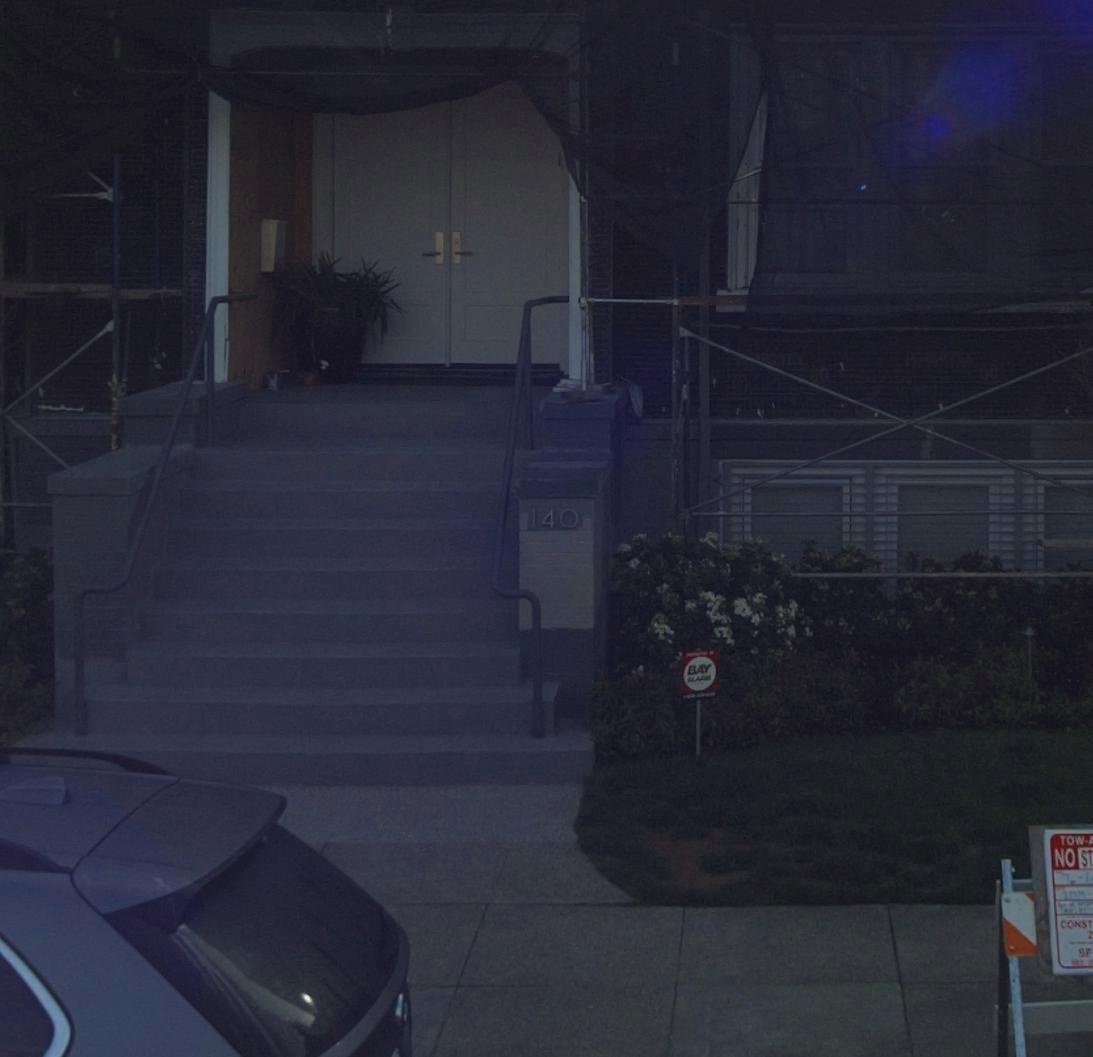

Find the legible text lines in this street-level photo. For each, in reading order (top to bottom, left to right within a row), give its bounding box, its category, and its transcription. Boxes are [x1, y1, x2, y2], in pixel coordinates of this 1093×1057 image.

[528, 507, 581, 530] StreetNumber: 140
[685, 661, 714, 677] None: BAY
[1057, 833, 1087, 848] None: TOW
[1052, 846, 1092, 870] None: NO ST
[1058, 918, 1090, 931] None: CONS